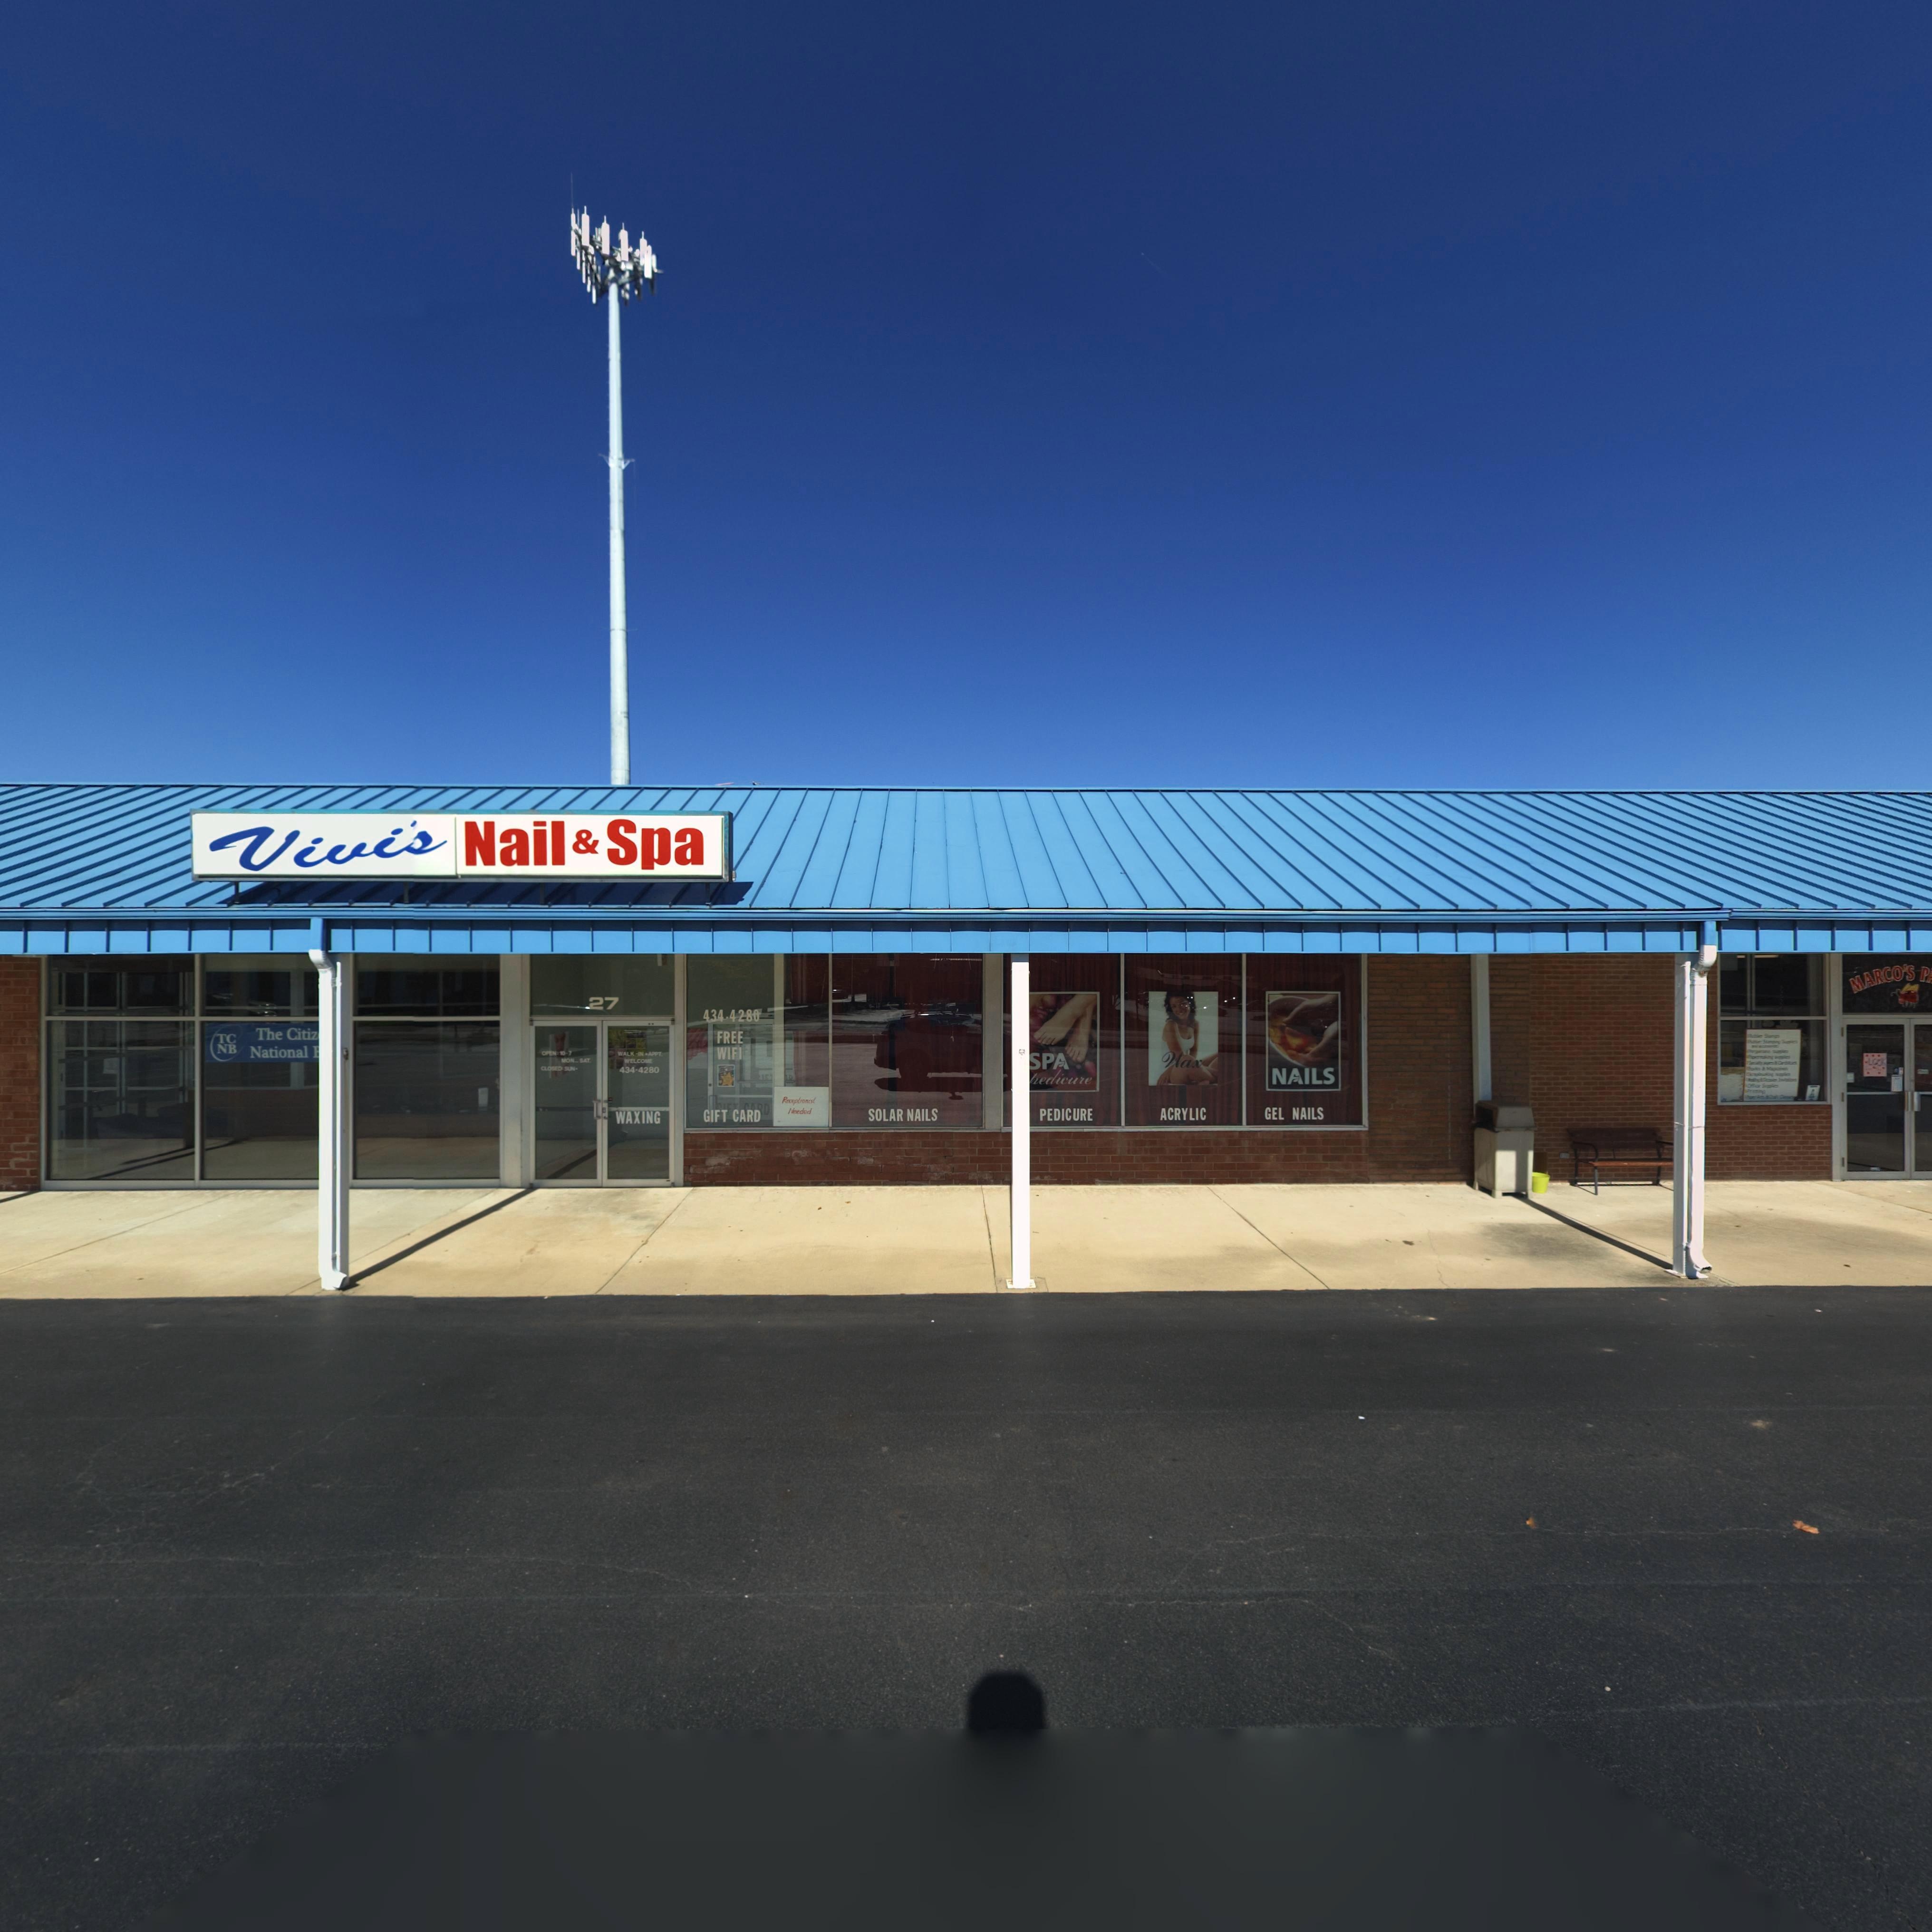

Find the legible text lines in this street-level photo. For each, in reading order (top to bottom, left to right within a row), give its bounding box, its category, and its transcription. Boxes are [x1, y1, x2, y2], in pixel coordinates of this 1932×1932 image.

[207, 817, 706, 873] BusinessName: Vivi's Nail & Spa
[1847, 963, 1931, 995] BusinessName: MARCO'S P
[588, 996, 620, 1011] StreetNumber: 27
[702, 1009, 760, 1023] None: 434-4280
[215, 1033, 237, 1044] None: TC
[255, 1027, 319, 1041] BusinessName: THE Citiz
[716, 1030, 744, 1044] None: FREE
[216, 1043, 237, 1054] None: NB
[248, 1045, 309, 1059] BusinessName: National
[541, 1050, 573, 1056] None: OPEN: 10-7
[540, 1065, 576, 1072] None: CLOSED: SUN
[560, 1058, 575, 1064] None: MON
[579, 1057, 592, 1063] None: SAT.
[623, 1058, 654, 1064] None: WELCOME
[618, 1066, 660, 1074] None: 434-4280
[617, 1051, 664, 1057] None: WALK-IN + APPT.
[716, 1046, 743, 1061] None: WIFI
[1029, 1052, 1071, 1071] None: SPA
[1038, 1073, 1093, 1086] None: edicure
[1160, 1050, 1207, 1070] None: Wax
[1271, 1066, 1336, 1085] None: NAILS
[781, 1096, 817, 1106] None: Receptionist
[615, 1111, 661, 1125] None: WAXING
[703, 1109, 762, 1123] None: GIFT CARD
[787, 1107, 813, 1115] None: Needed
[868, 1108, 938, 1122] None: SOLAR NAILS
[1039, 1108, 1094, 1122] None: PEDICURE
[1159, 1107, 1207, 1121] None: ACRYLIC
[1264, 1106, 1325, 1121] None: GEL NAILS